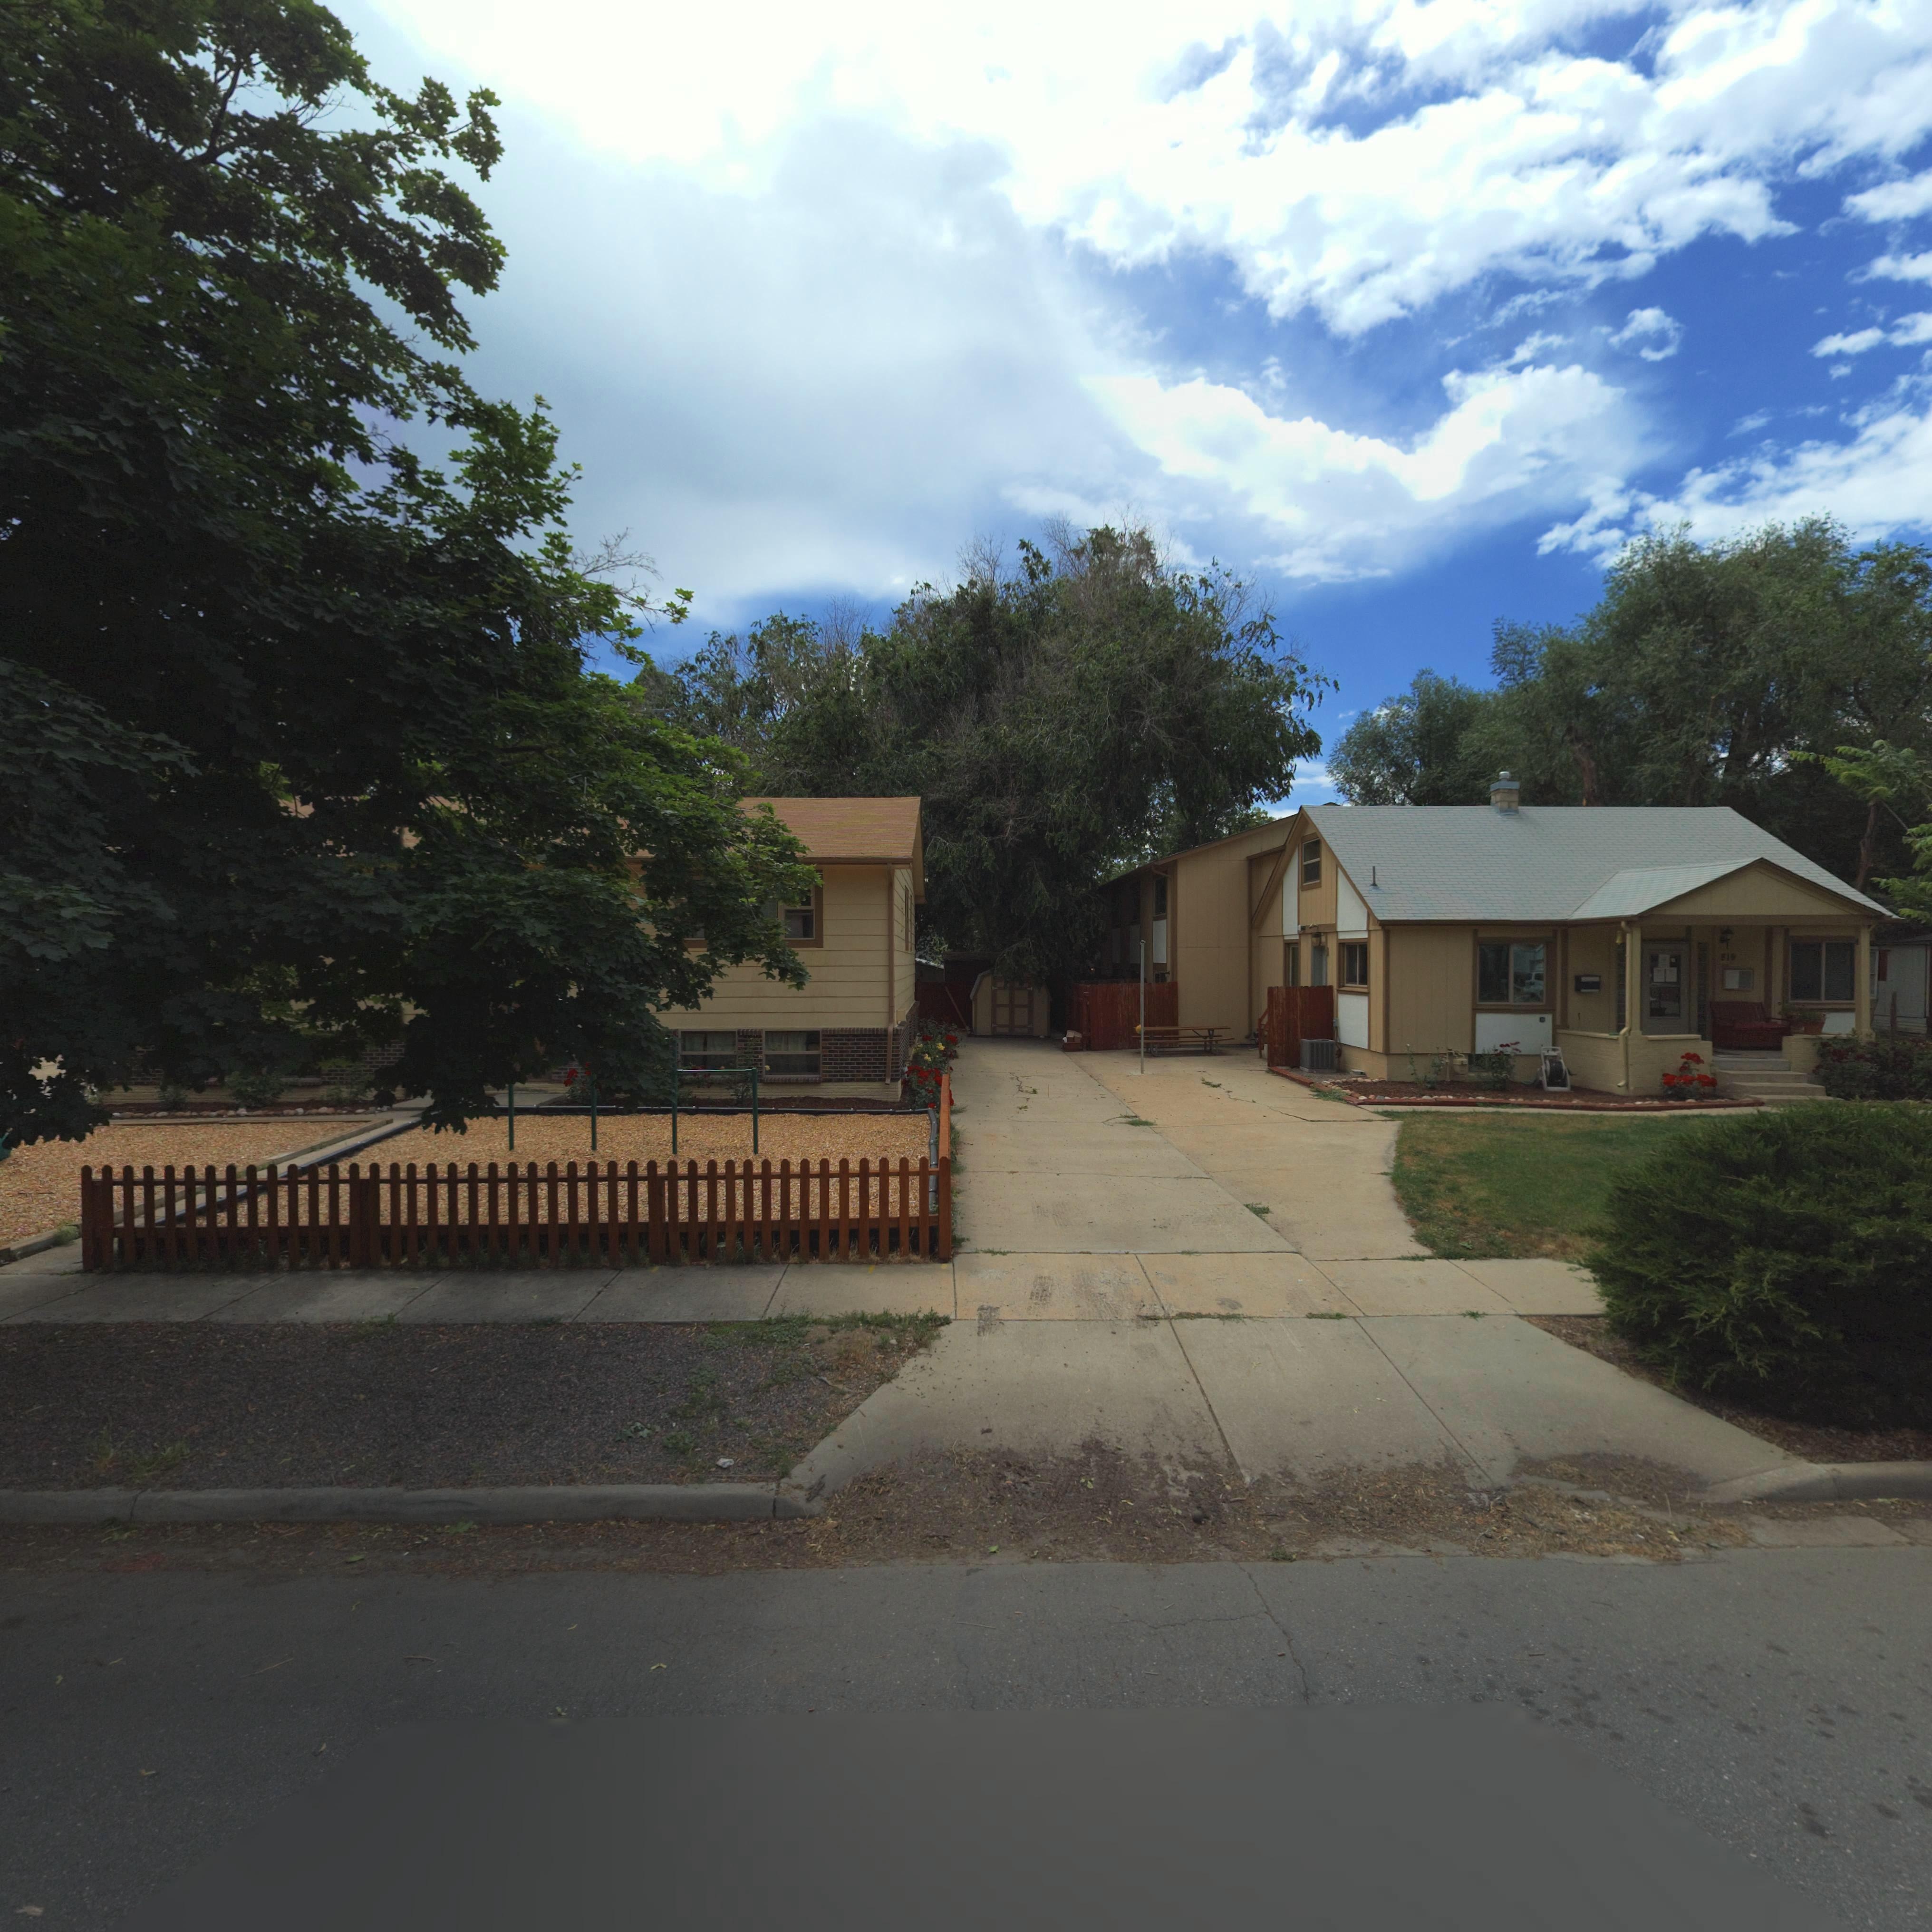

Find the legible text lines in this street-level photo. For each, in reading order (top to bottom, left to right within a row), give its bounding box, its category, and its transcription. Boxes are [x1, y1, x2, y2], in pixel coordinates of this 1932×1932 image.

[1719, 952, 1737, 961] StreetNumber: 819